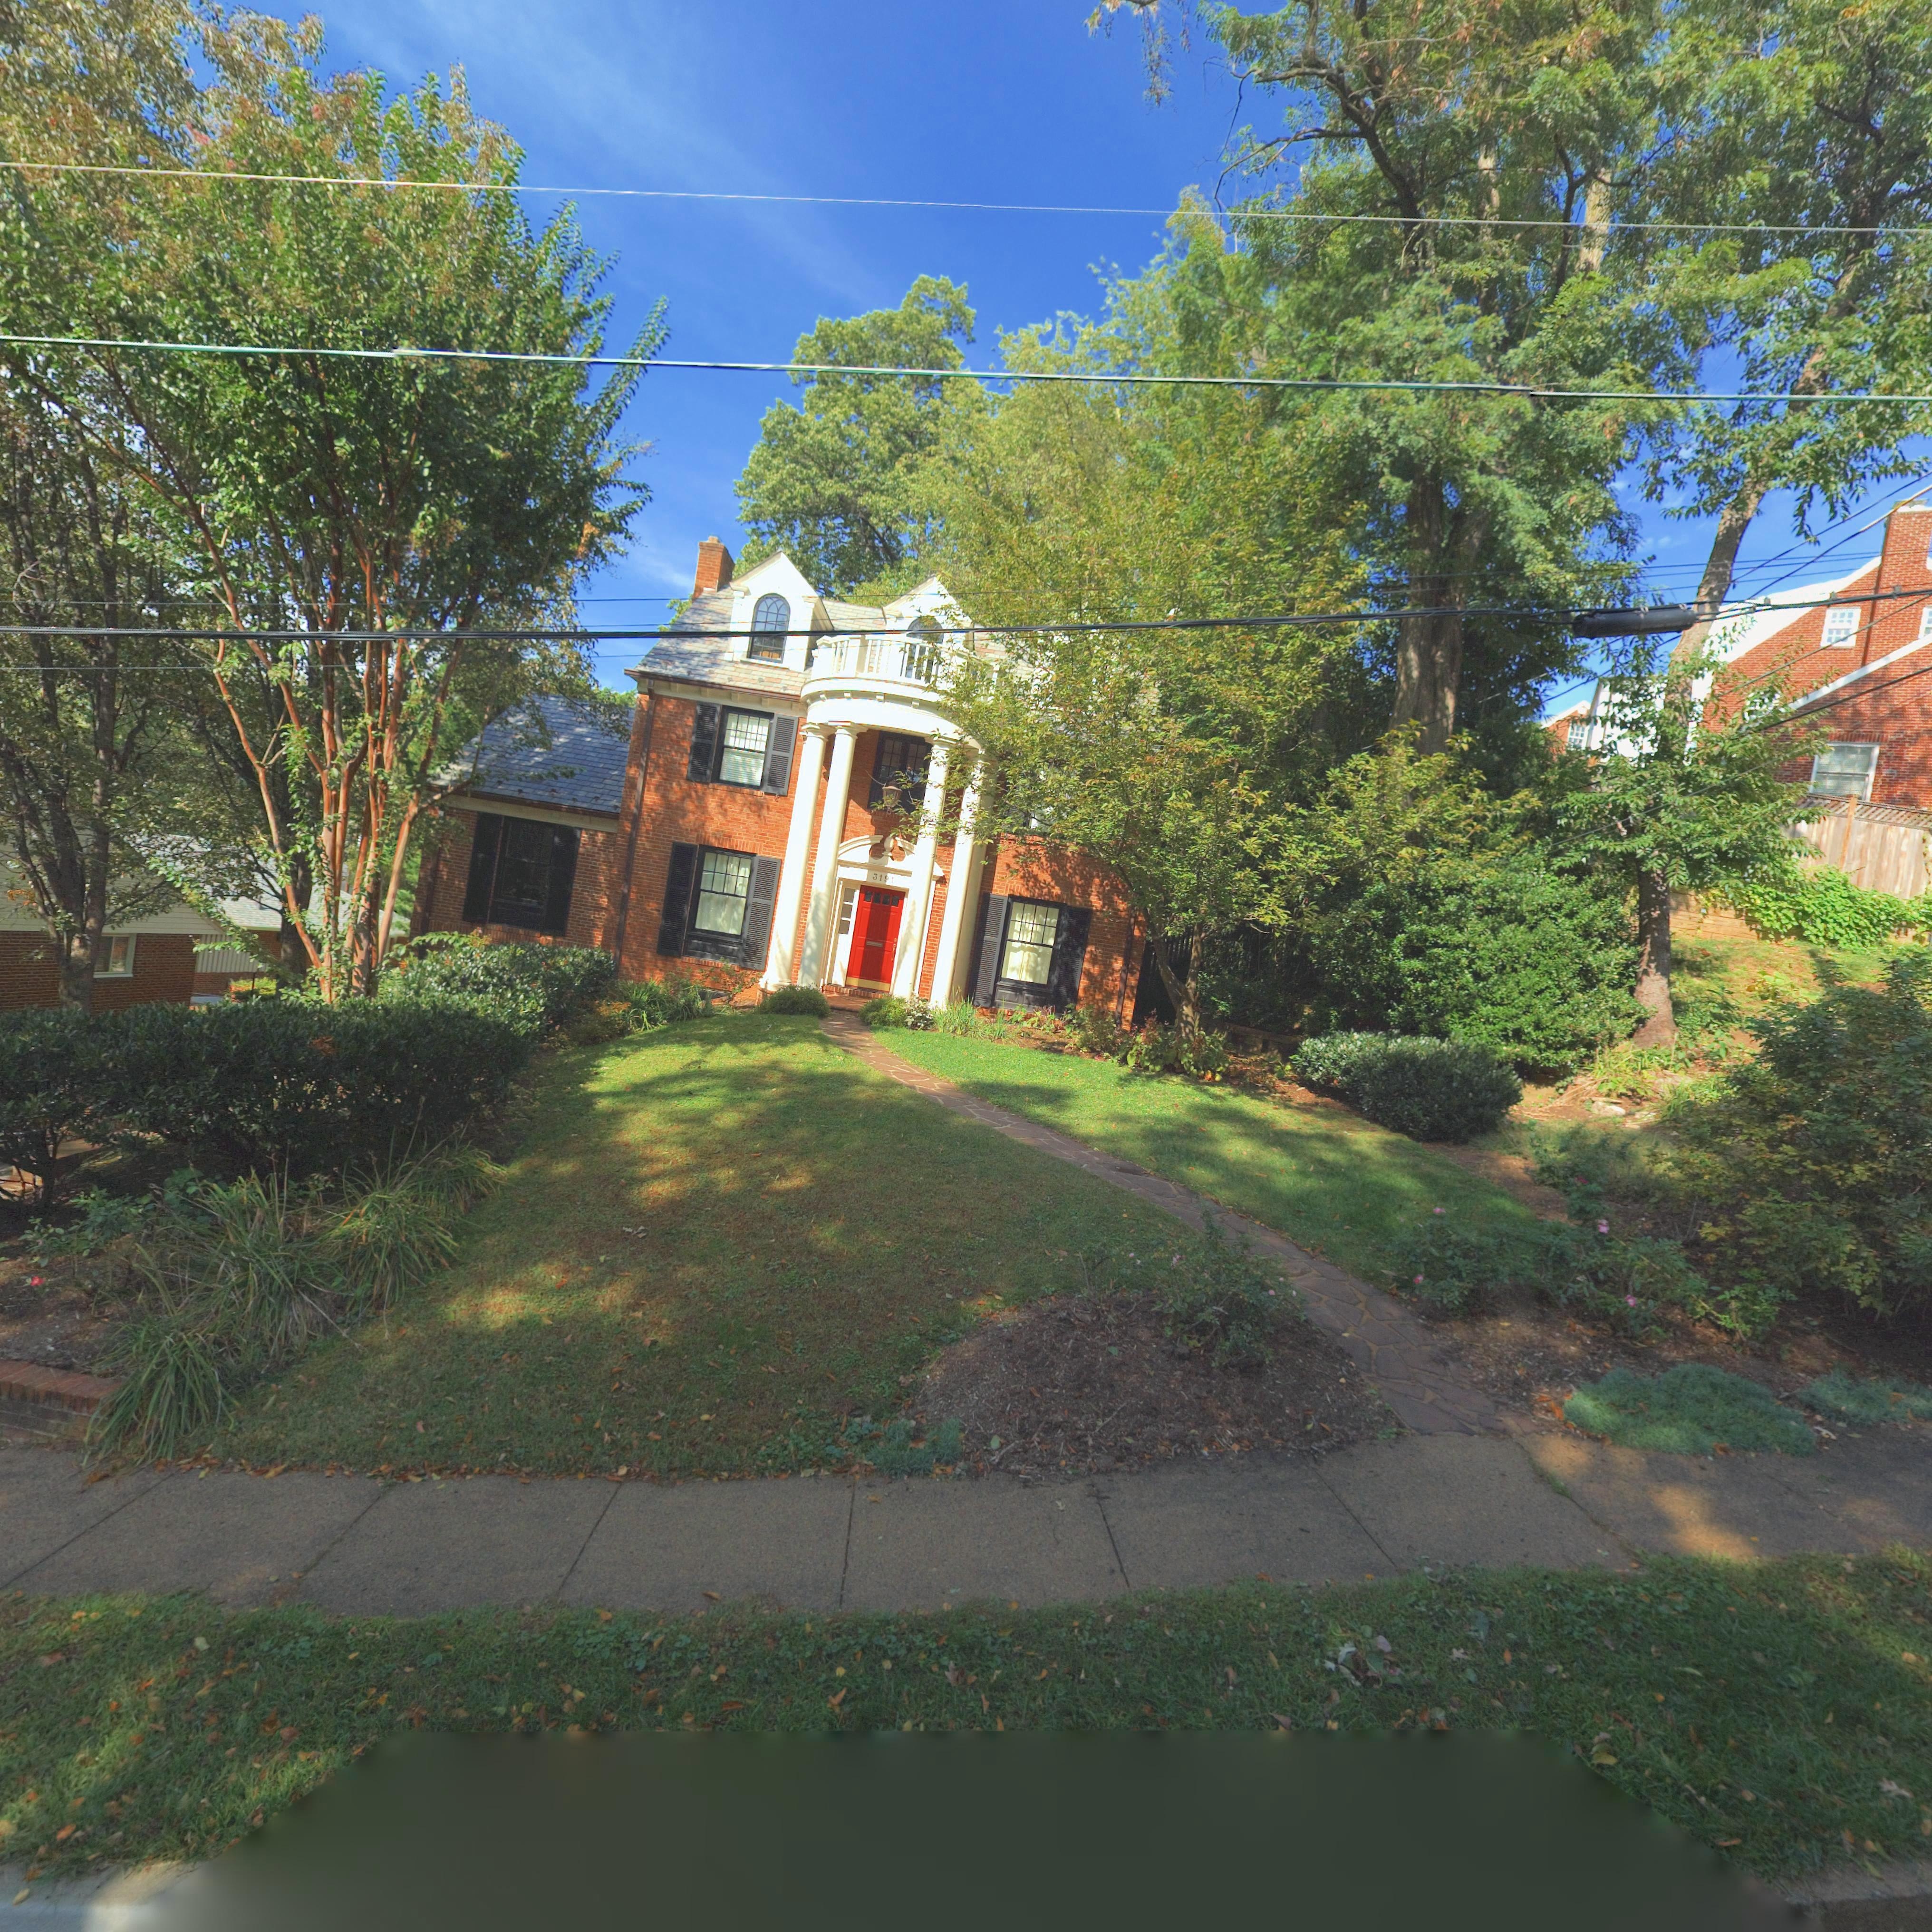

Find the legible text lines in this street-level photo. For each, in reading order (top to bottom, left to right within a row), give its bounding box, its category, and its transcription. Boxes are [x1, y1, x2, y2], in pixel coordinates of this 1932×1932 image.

[871, 871, 895, 885] StreetNumber: 31**